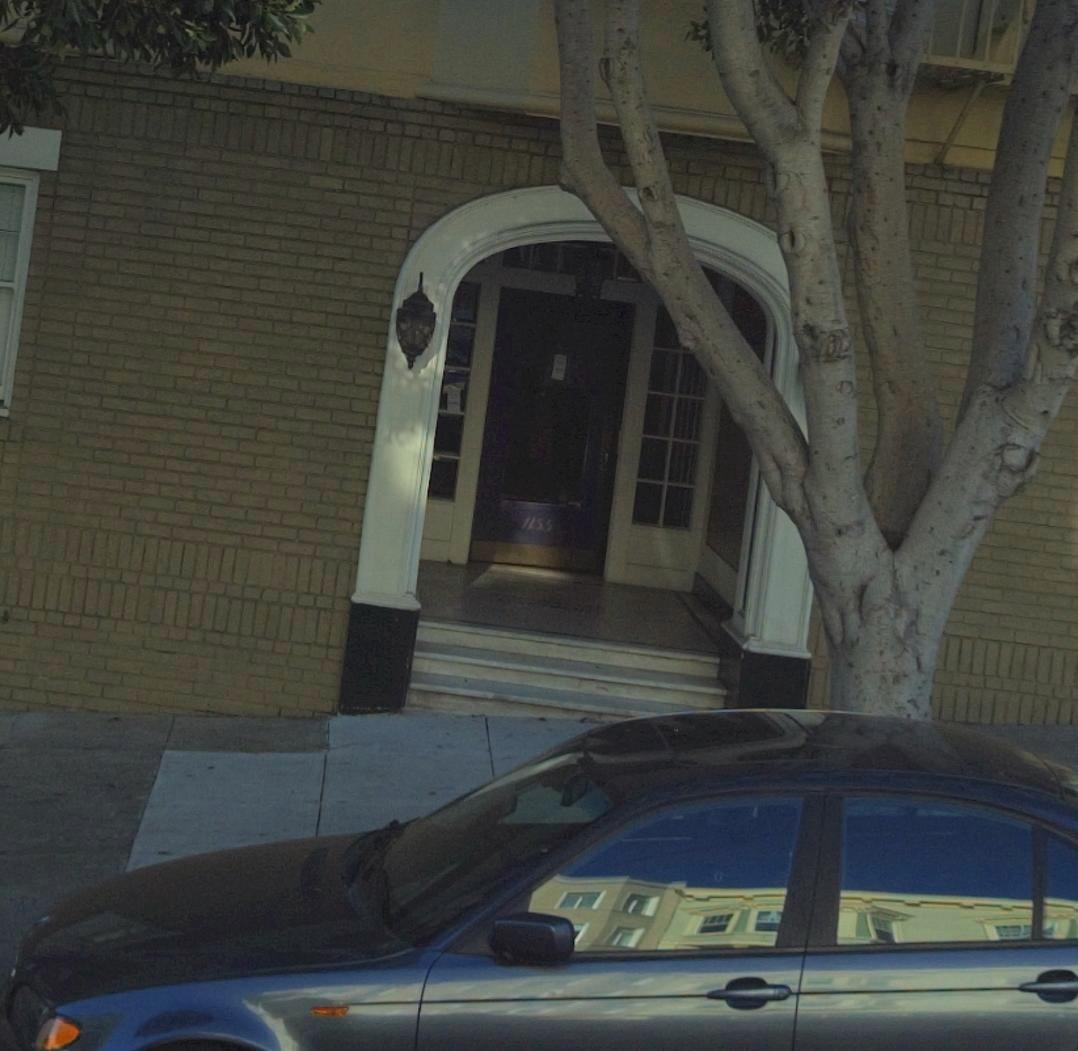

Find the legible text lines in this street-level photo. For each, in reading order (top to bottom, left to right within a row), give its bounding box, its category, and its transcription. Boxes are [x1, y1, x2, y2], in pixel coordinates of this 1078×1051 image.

[518, 515, 557, 534] StreetNumber: 1155